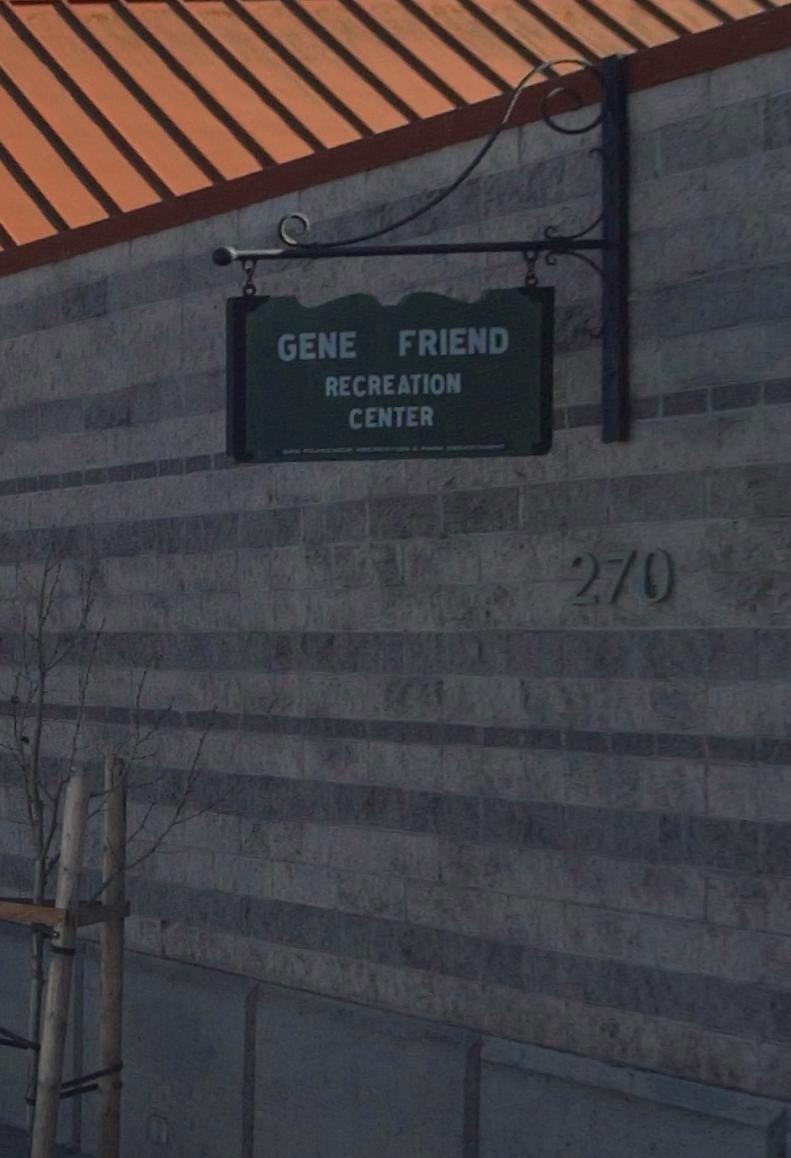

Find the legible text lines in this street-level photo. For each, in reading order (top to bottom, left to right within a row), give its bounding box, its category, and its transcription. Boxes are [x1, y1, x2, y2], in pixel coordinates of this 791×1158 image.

[274, 324, 511, 362] BusinessName: GENE FRIEND
[322, 370, 464, 400] BusinessName: RECREATION
[346, 404, 436, 431] BusinessName: CENTER
[565, 543, 675, 607] StreetNumber: 270